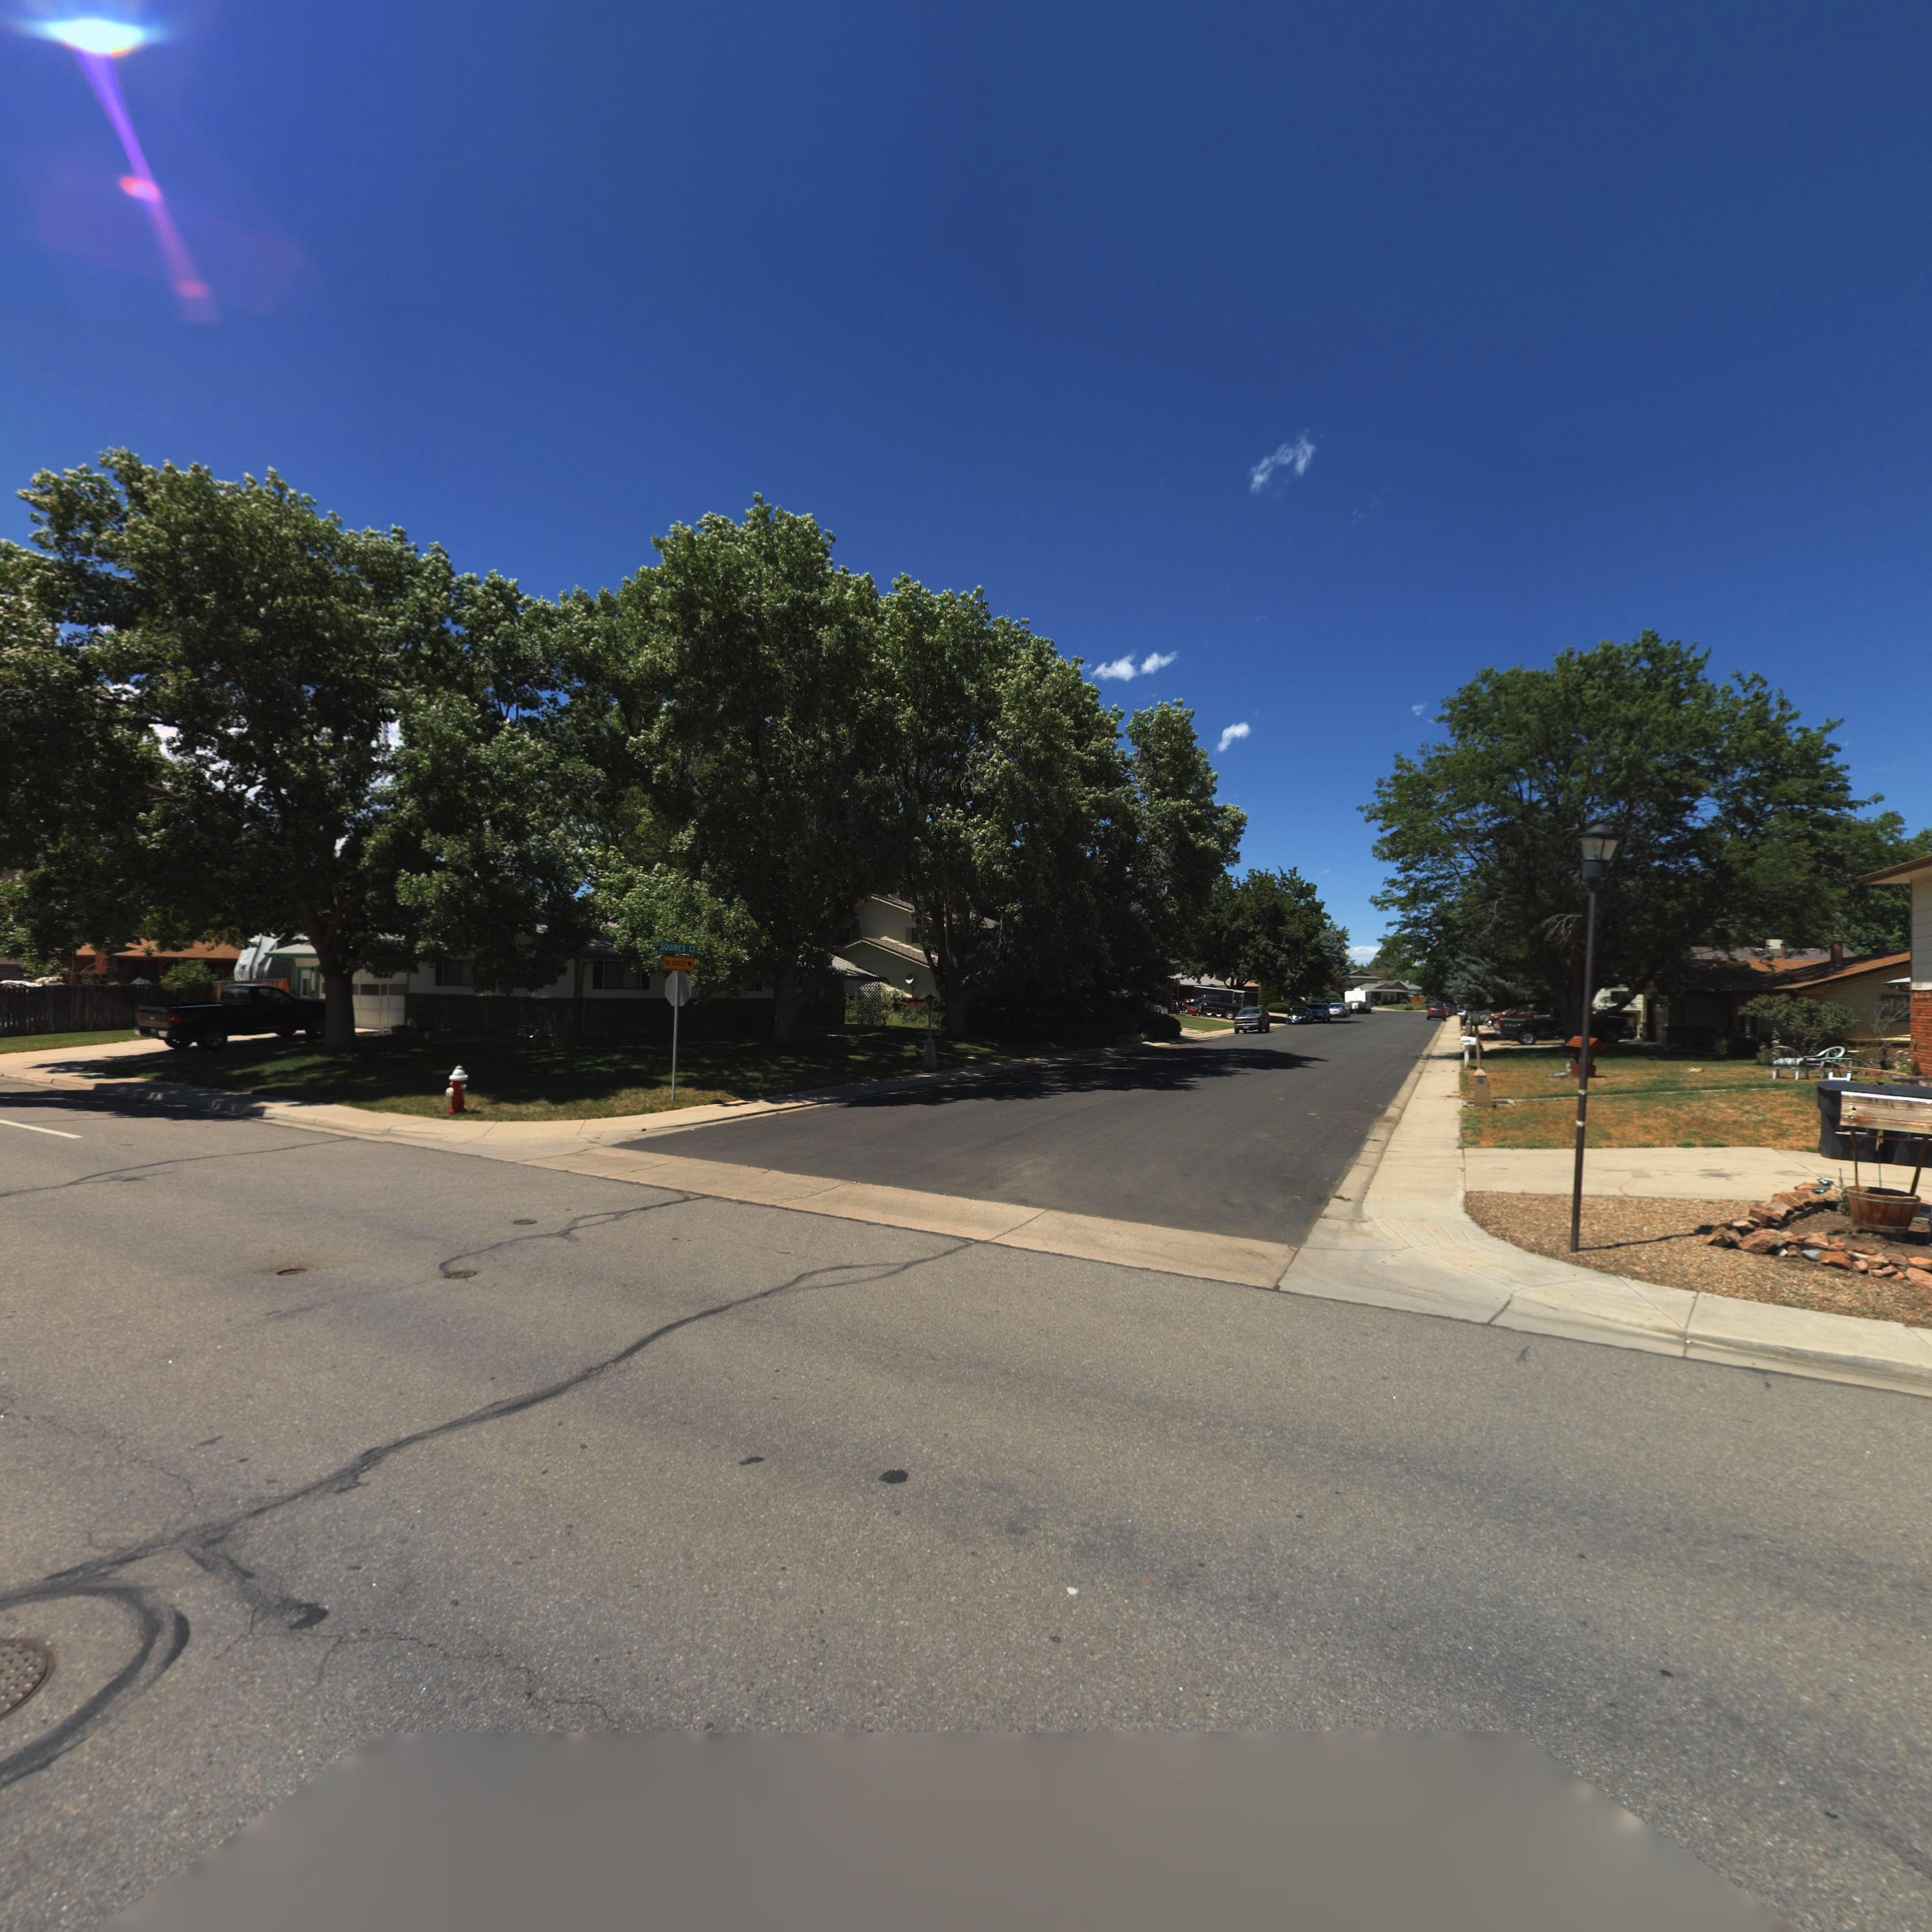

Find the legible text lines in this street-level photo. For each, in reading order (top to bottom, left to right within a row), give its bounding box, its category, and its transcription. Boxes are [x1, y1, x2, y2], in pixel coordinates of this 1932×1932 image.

[660, 942, 695, 953] StreetNumber: SQUIRES CT
[664, 959, 687, 966] StreetNumber: NO OUTLET